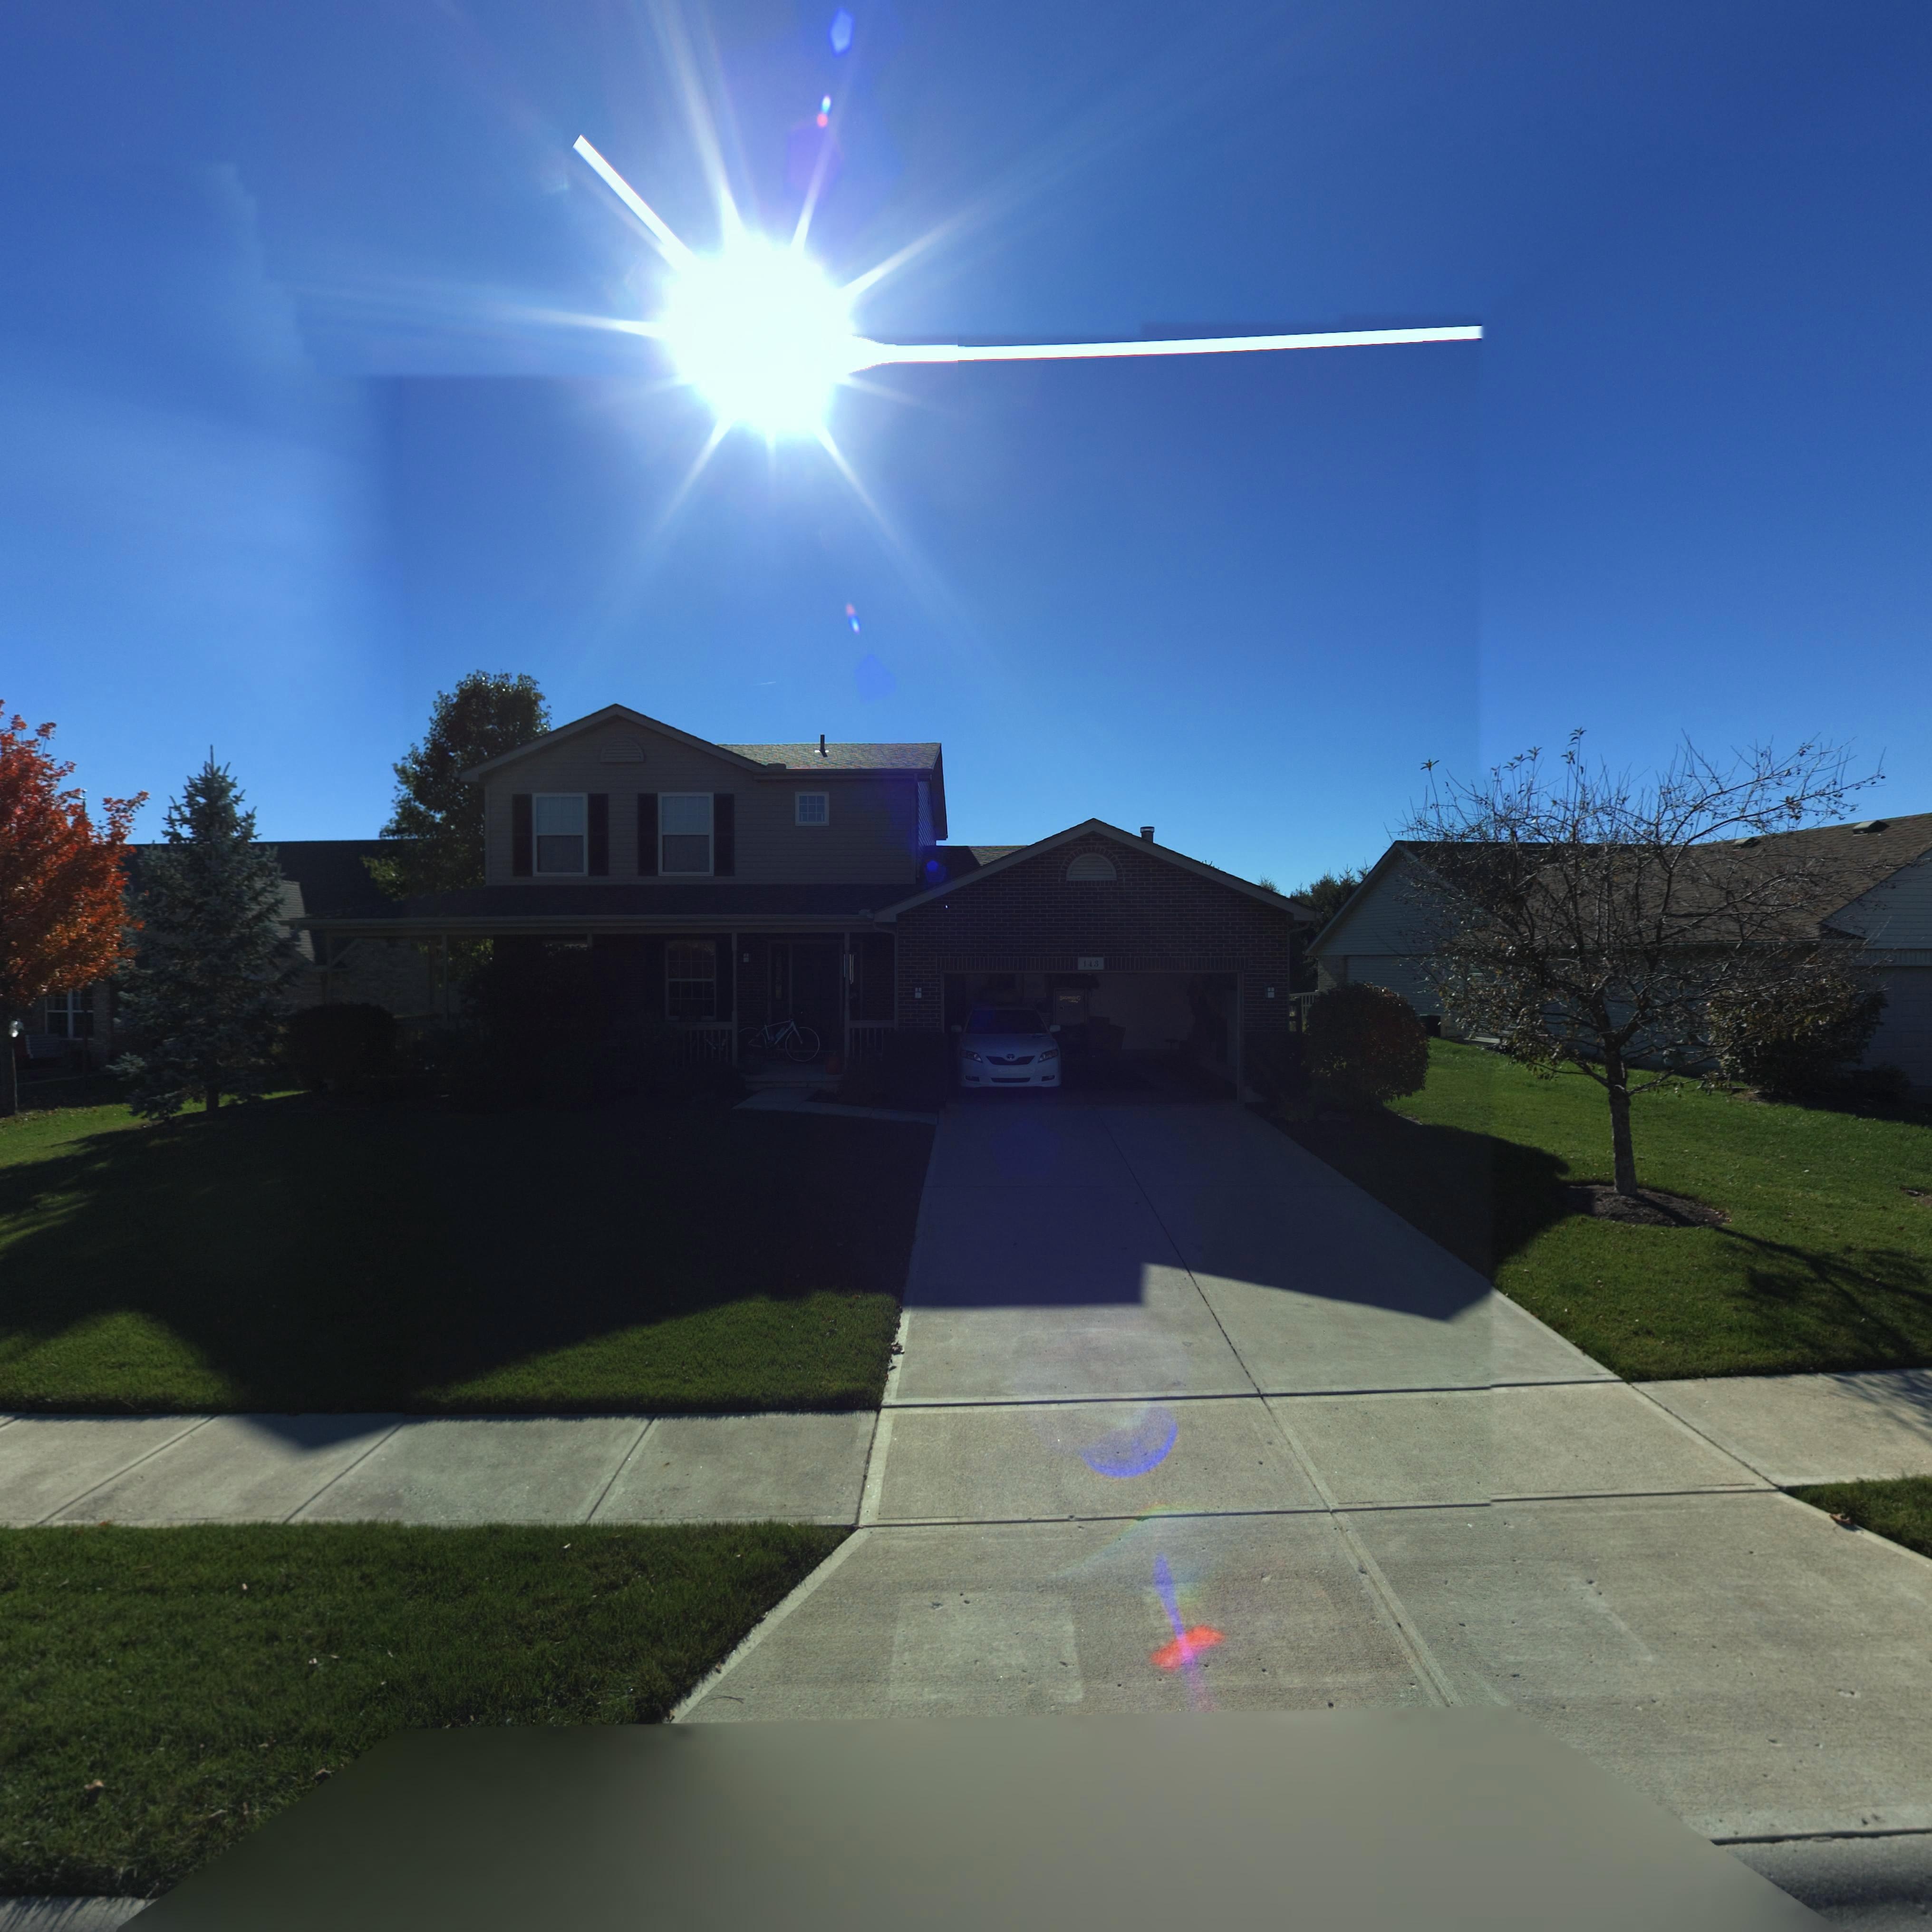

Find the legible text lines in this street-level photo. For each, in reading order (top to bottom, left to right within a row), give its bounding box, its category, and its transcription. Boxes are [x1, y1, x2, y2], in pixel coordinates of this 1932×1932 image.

[1083, 959, 1099, 967] StreetNumber: 143